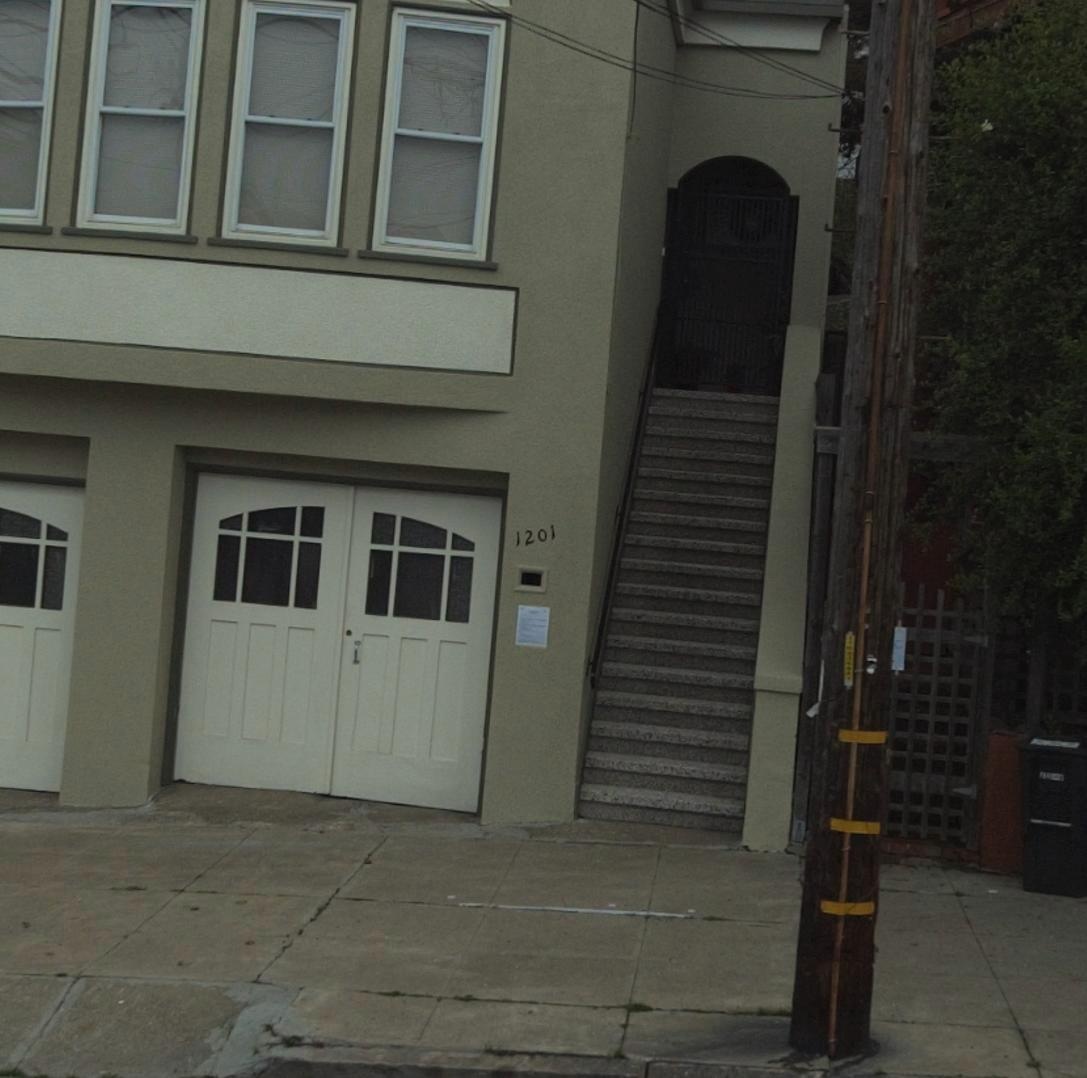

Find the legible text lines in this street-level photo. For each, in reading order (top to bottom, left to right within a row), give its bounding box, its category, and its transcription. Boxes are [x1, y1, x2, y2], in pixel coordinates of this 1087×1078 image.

[515, 522, 556, 549] StreetNumber: 1201
[846, 635, 853, 683] None: 11****11